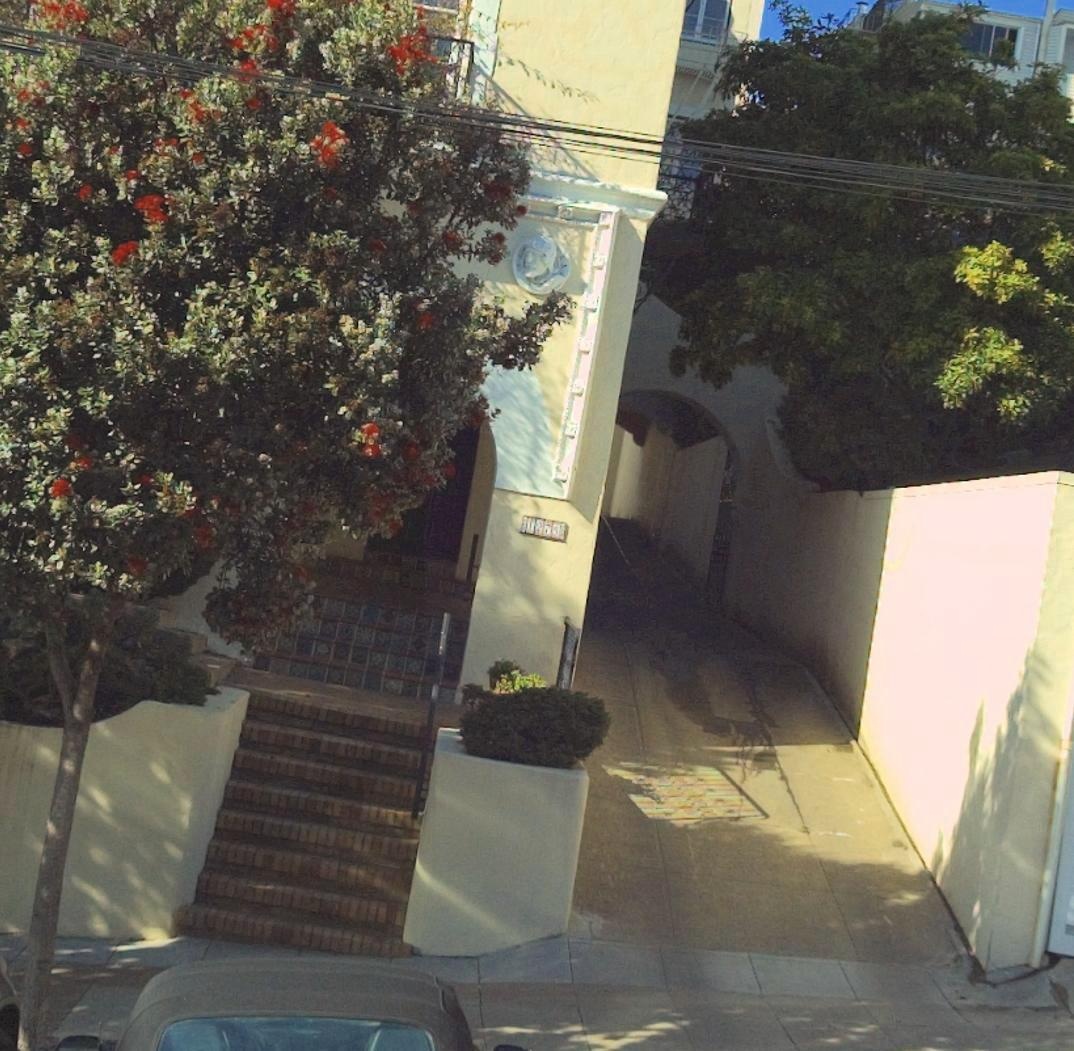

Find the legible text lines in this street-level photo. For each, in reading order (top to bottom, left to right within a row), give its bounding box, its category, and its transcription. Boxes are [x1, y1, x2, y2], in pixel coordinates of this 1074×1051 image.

[527, 518, 562, 538] StreetNumber: 1275